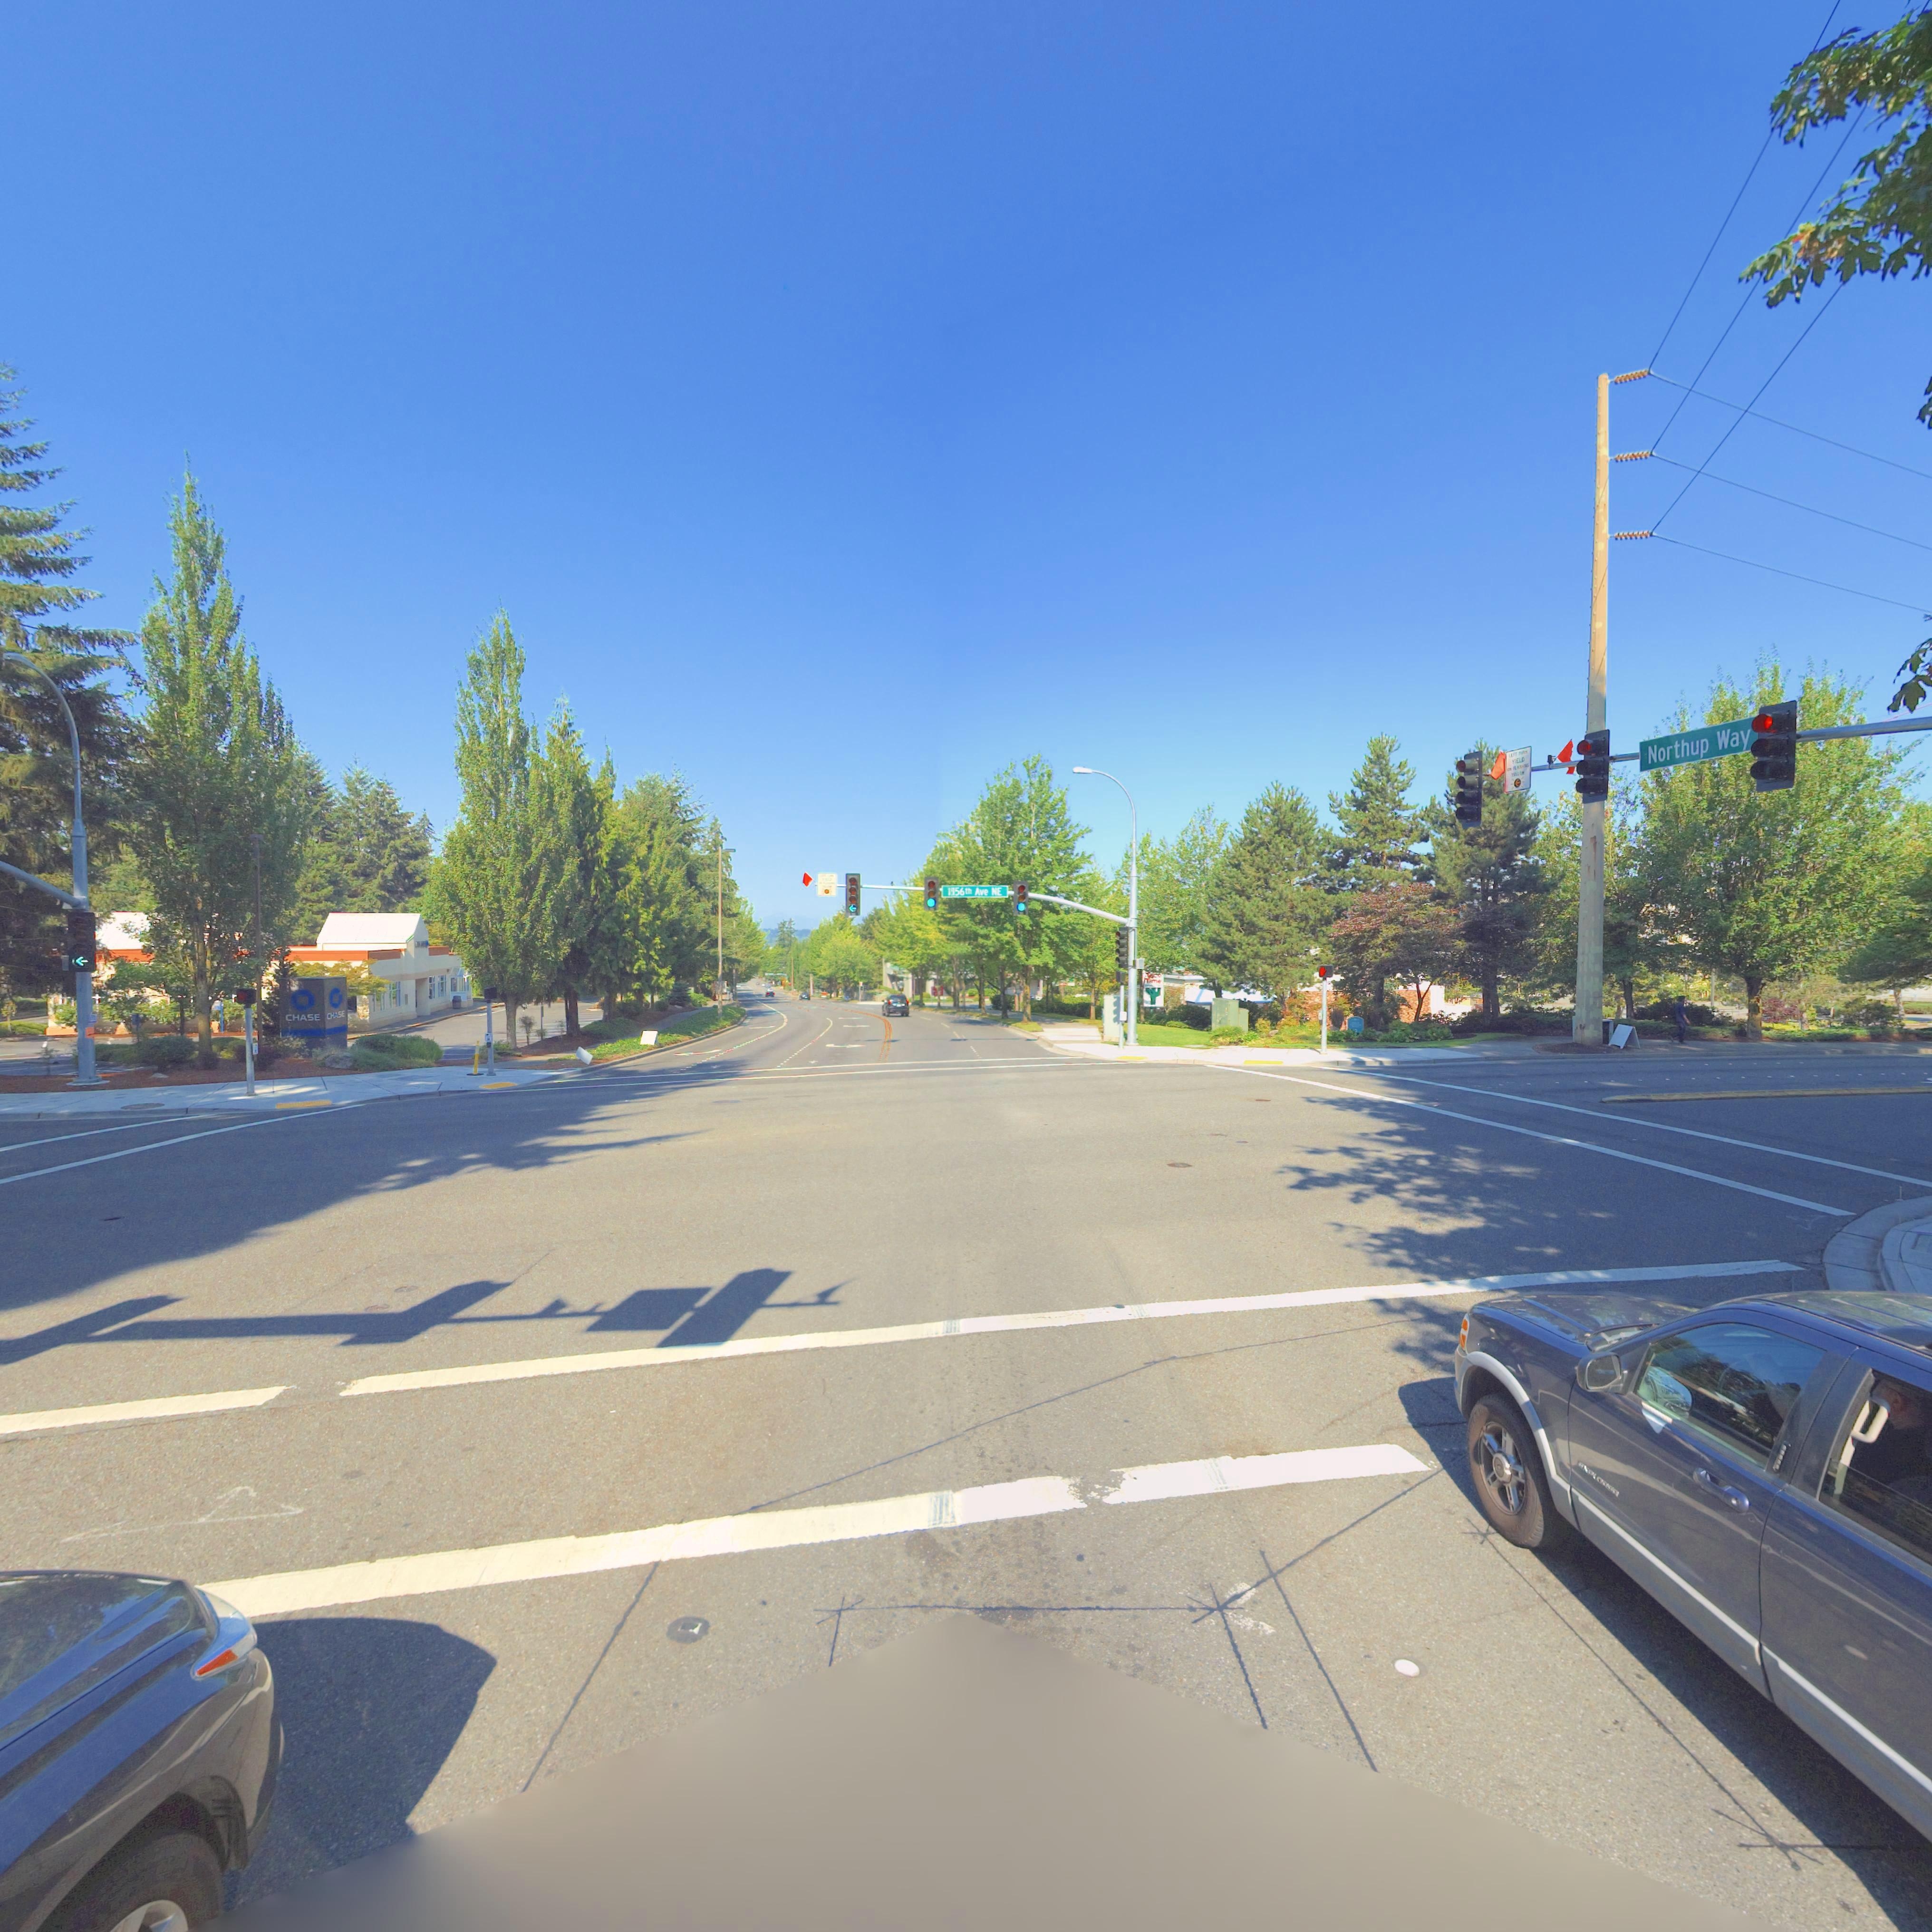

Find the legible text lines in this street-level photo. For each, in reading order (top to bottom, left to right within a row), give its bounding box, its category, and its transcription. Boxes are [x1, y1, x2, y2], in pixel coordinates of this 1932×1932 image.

[1647, 727, 1752, 765] StreetName: Northup Way
[947, 887, 1002, 896] StreetName: 1*56th Ave NE
[1145, 972, 1162, 978] BusinessName: T*co
[1143, 977, 1161, 984] BusinessName: Time
[285, 1013, 320, 1021] BusinessName: CHASE
[326, 1010, 345, 1020] BusinessName: CH*SE